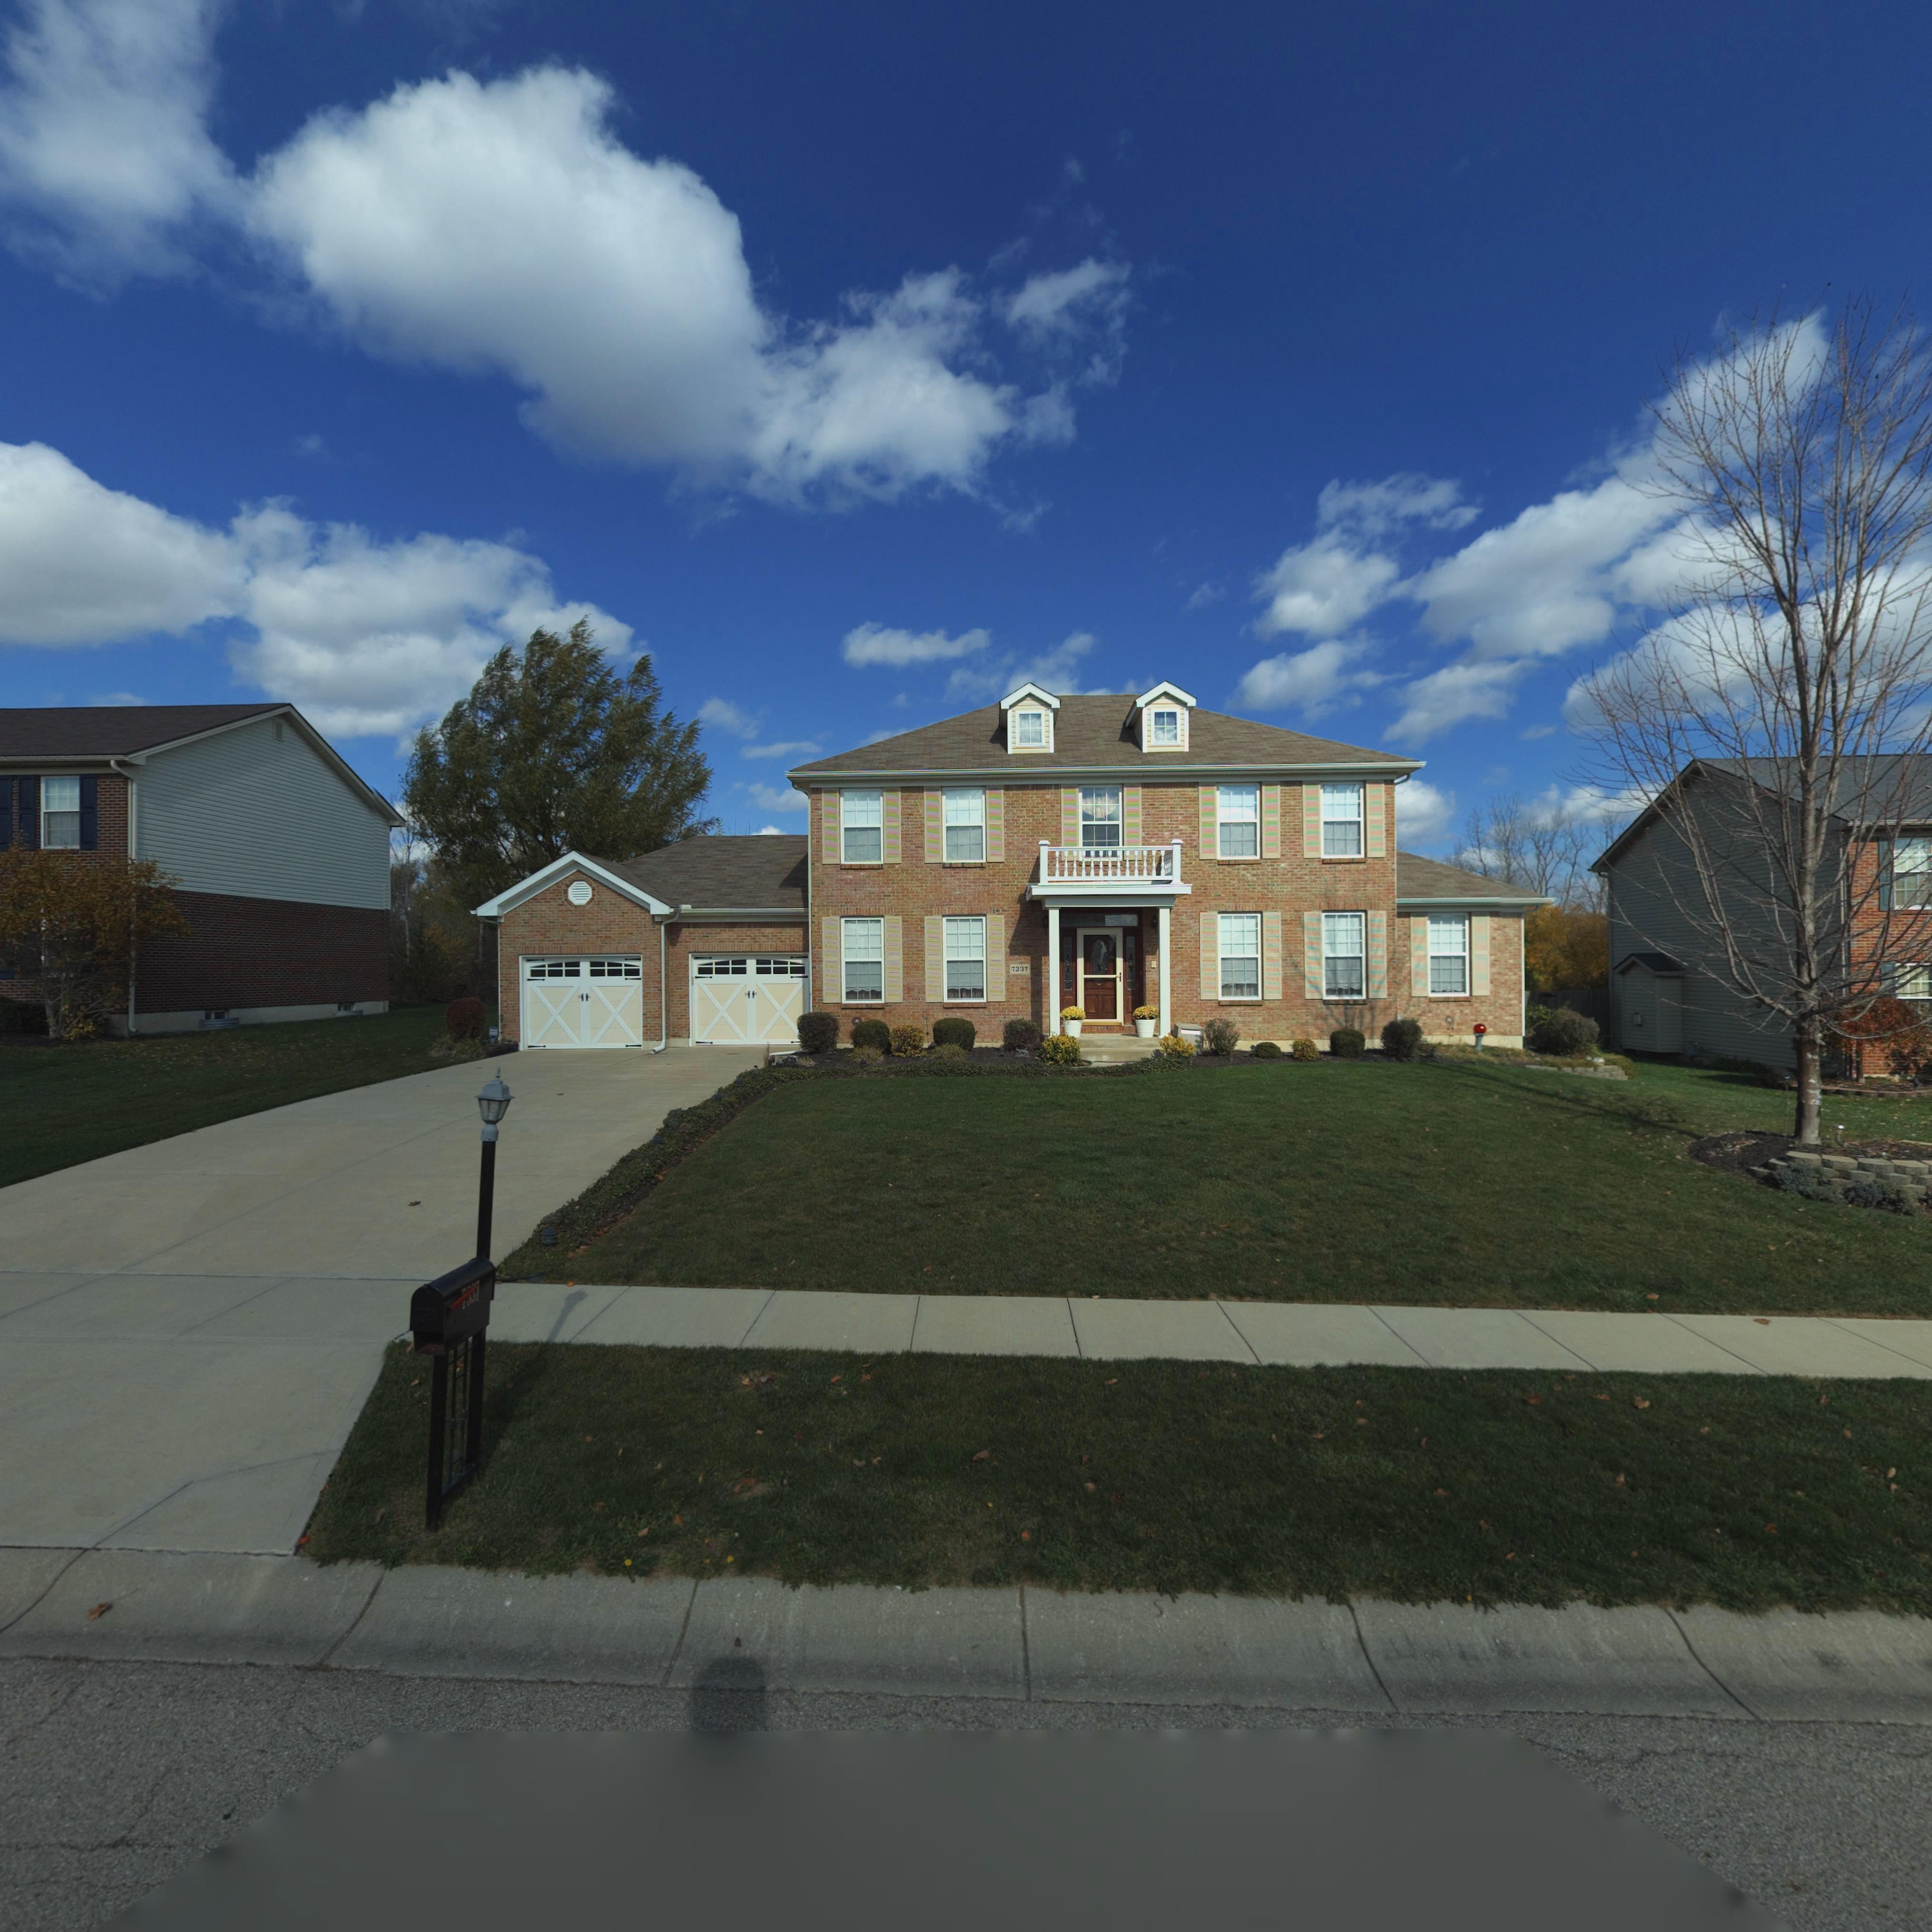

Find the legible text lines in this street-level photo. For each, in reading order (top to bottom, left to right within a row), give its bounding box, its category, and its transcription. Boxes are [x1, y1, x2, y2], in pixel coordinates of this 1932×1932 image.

[1011, 966, 1029, 973] StreetNumber: 7337